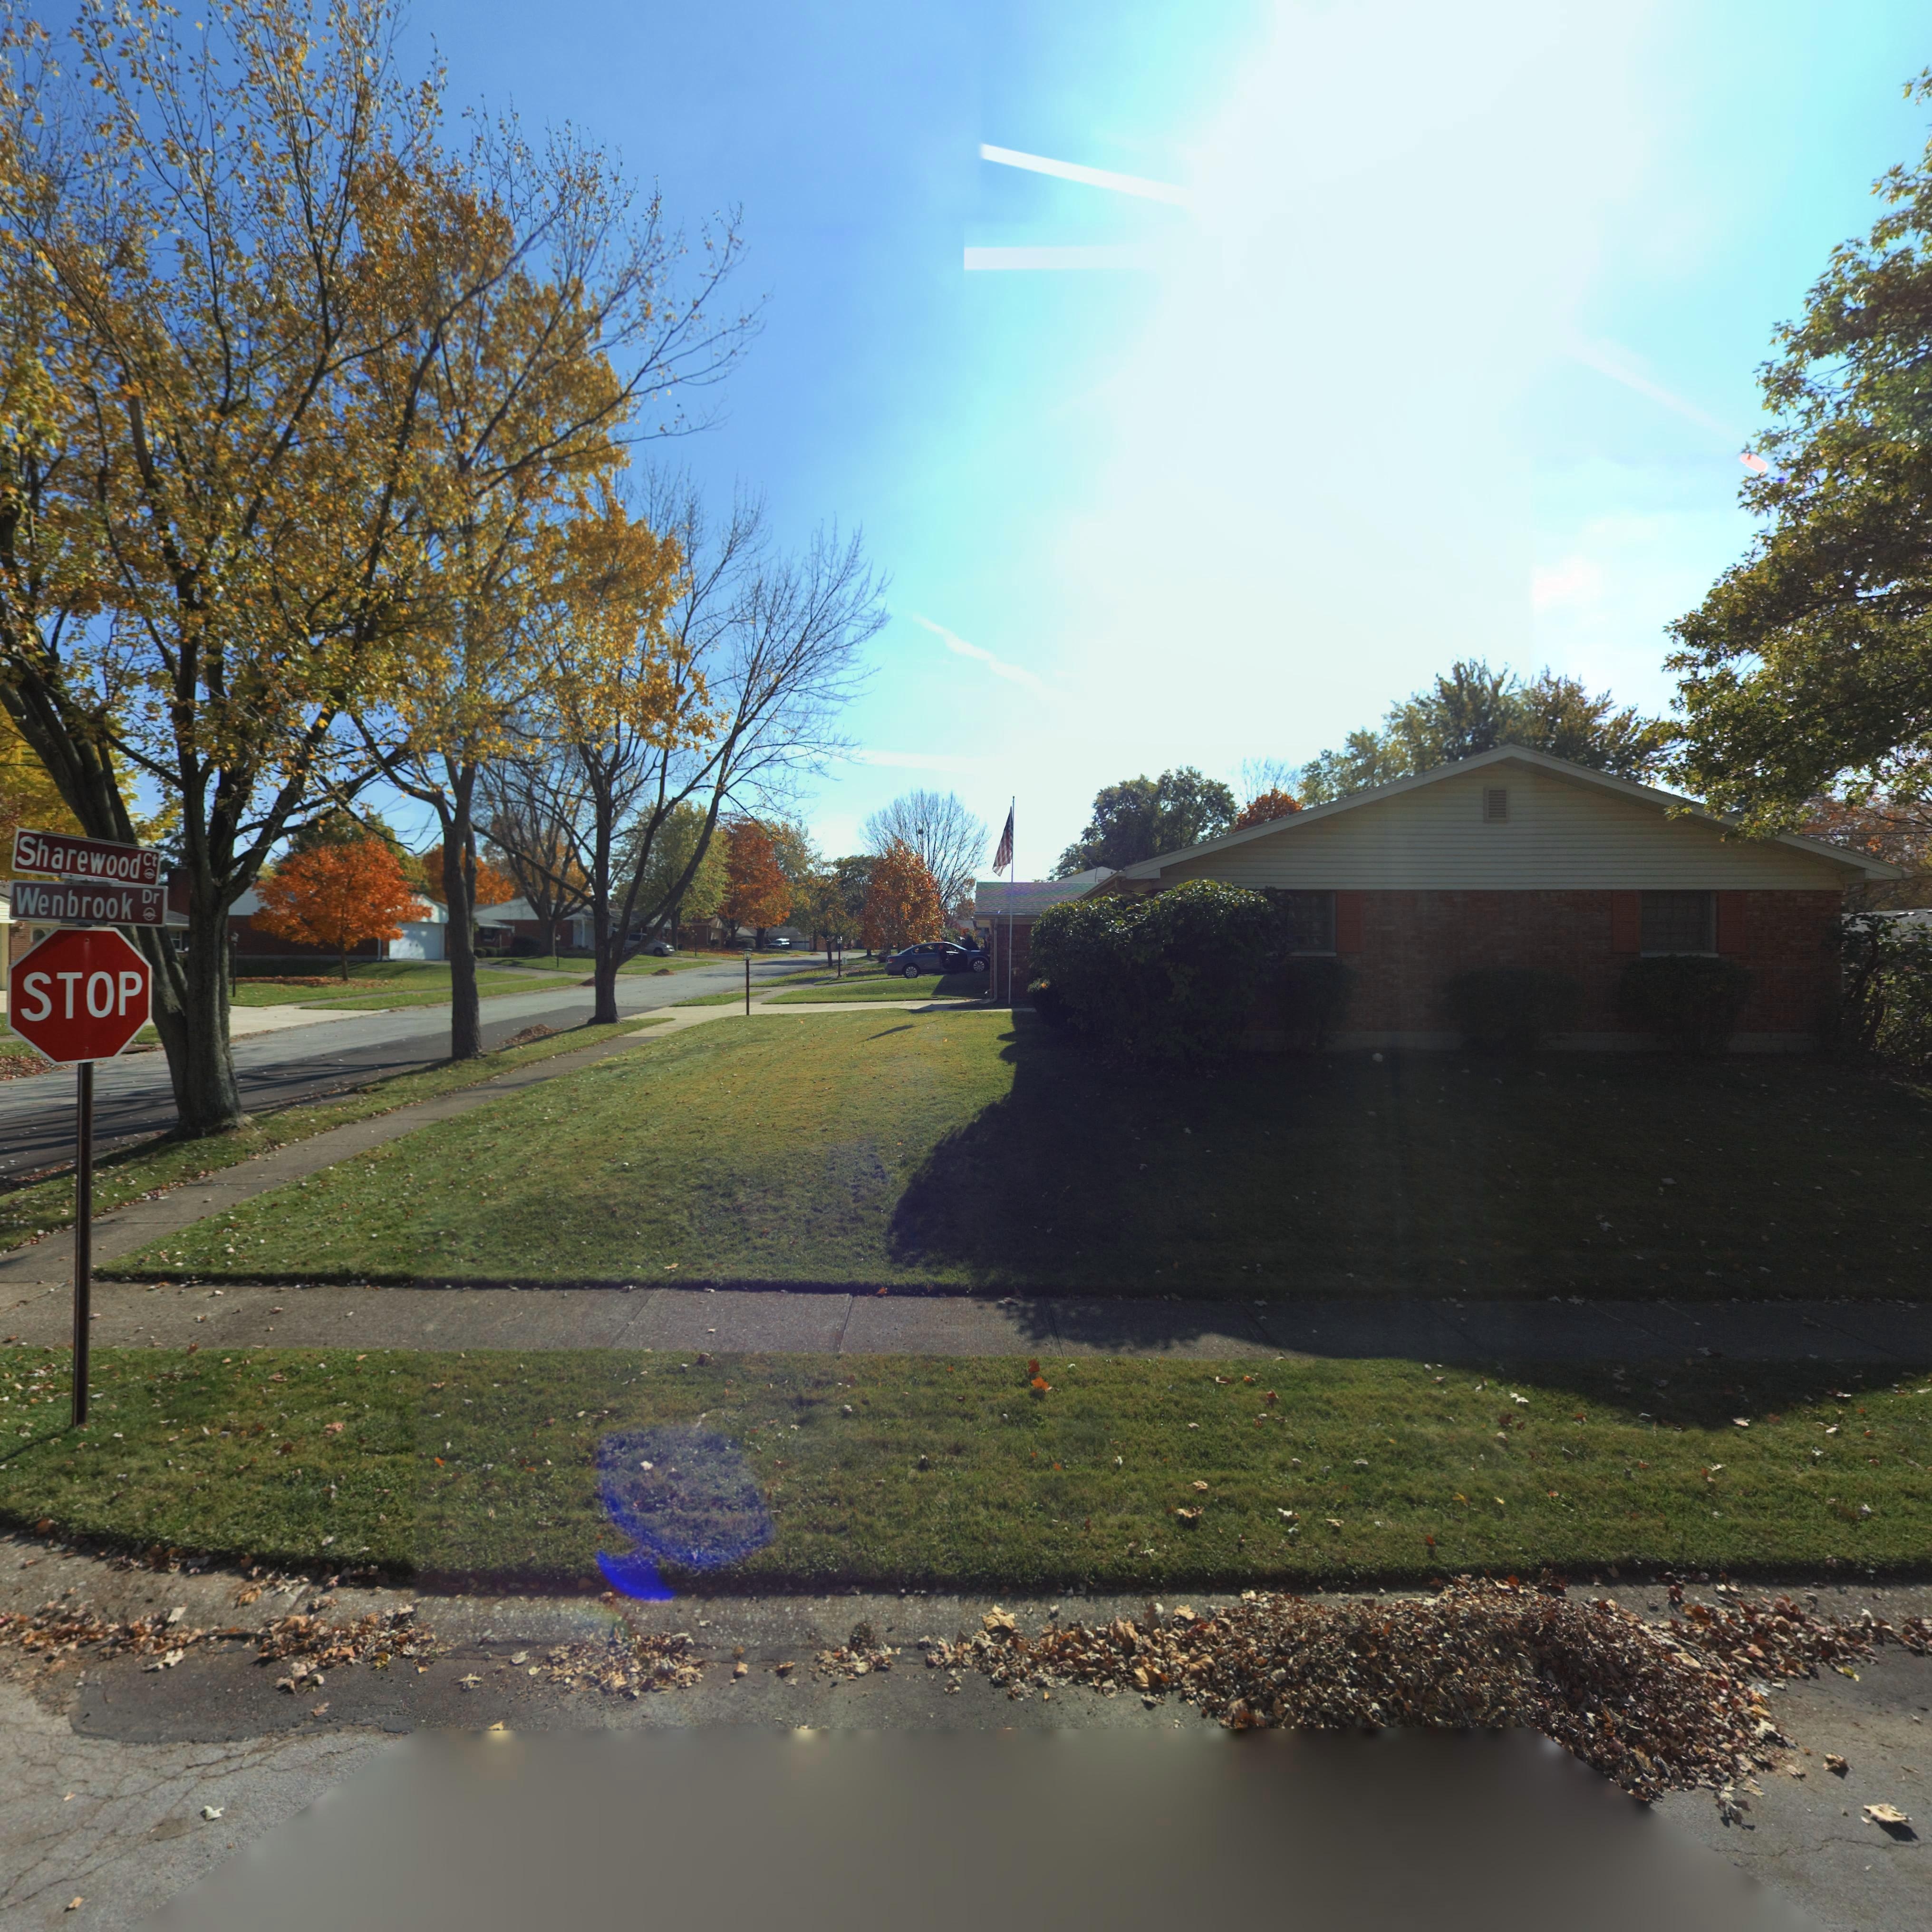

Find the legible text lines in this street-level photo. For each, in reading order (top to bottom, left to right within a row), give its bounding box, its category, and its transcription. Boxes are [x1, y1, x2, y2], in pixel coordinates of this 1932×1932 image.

[13, 833, 159, 882] StreetName: Sharewood Ct
[13, 884, 163, 923] StreetName: Wenbrook Dr
[17, 967, 145, 1025] None: STOP